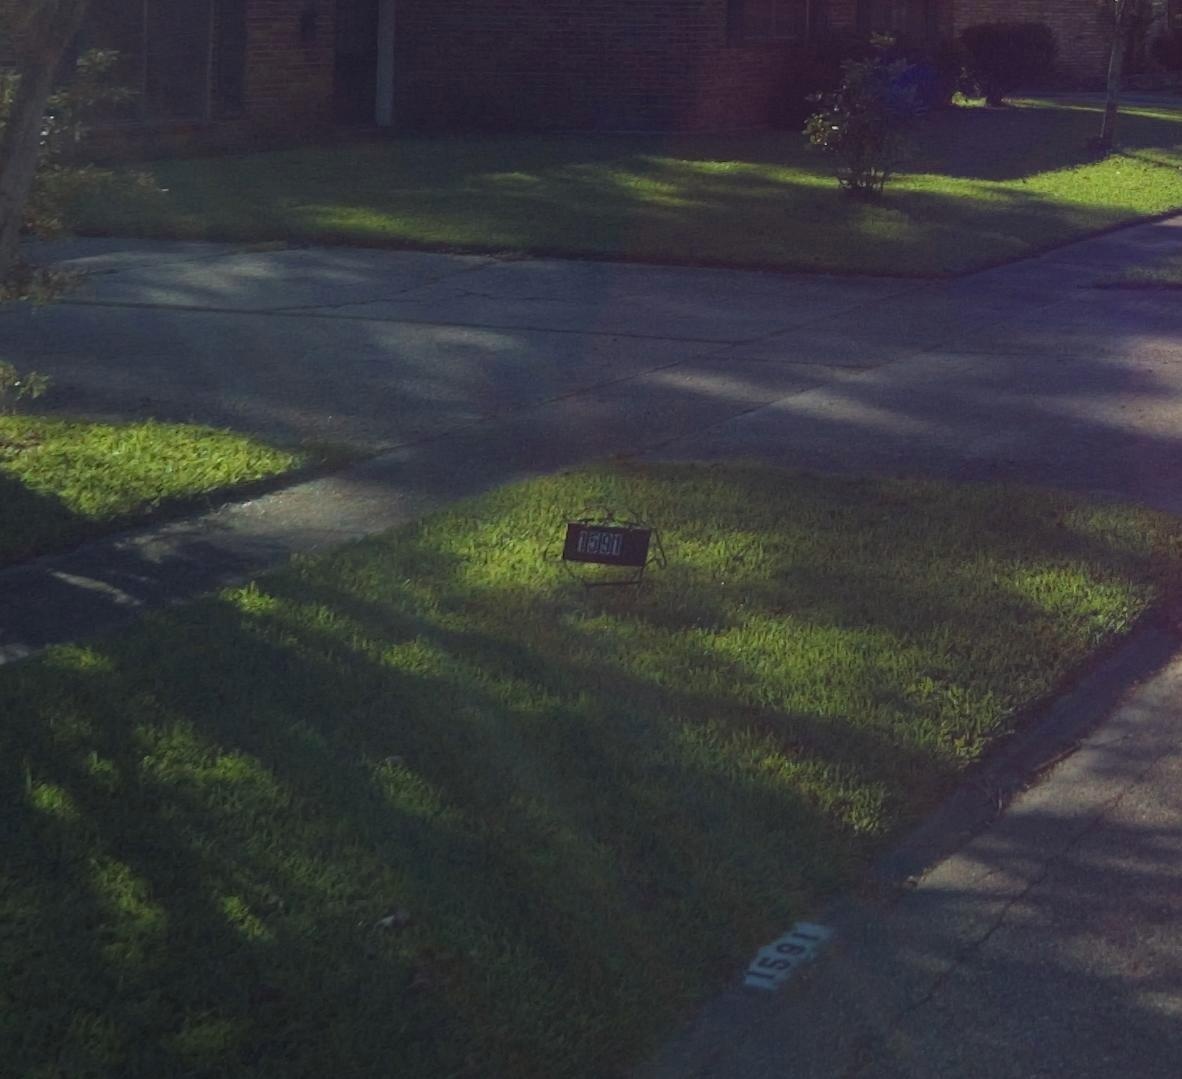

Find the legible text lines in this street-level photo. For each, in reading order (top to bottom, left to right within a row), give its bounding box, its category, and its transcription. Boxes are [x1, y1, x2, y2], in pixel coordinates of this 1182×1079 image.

[576, 530, 624, 557] StreetNumber: 1591
[738, 927, 826, 987] StreetNumber: 1591